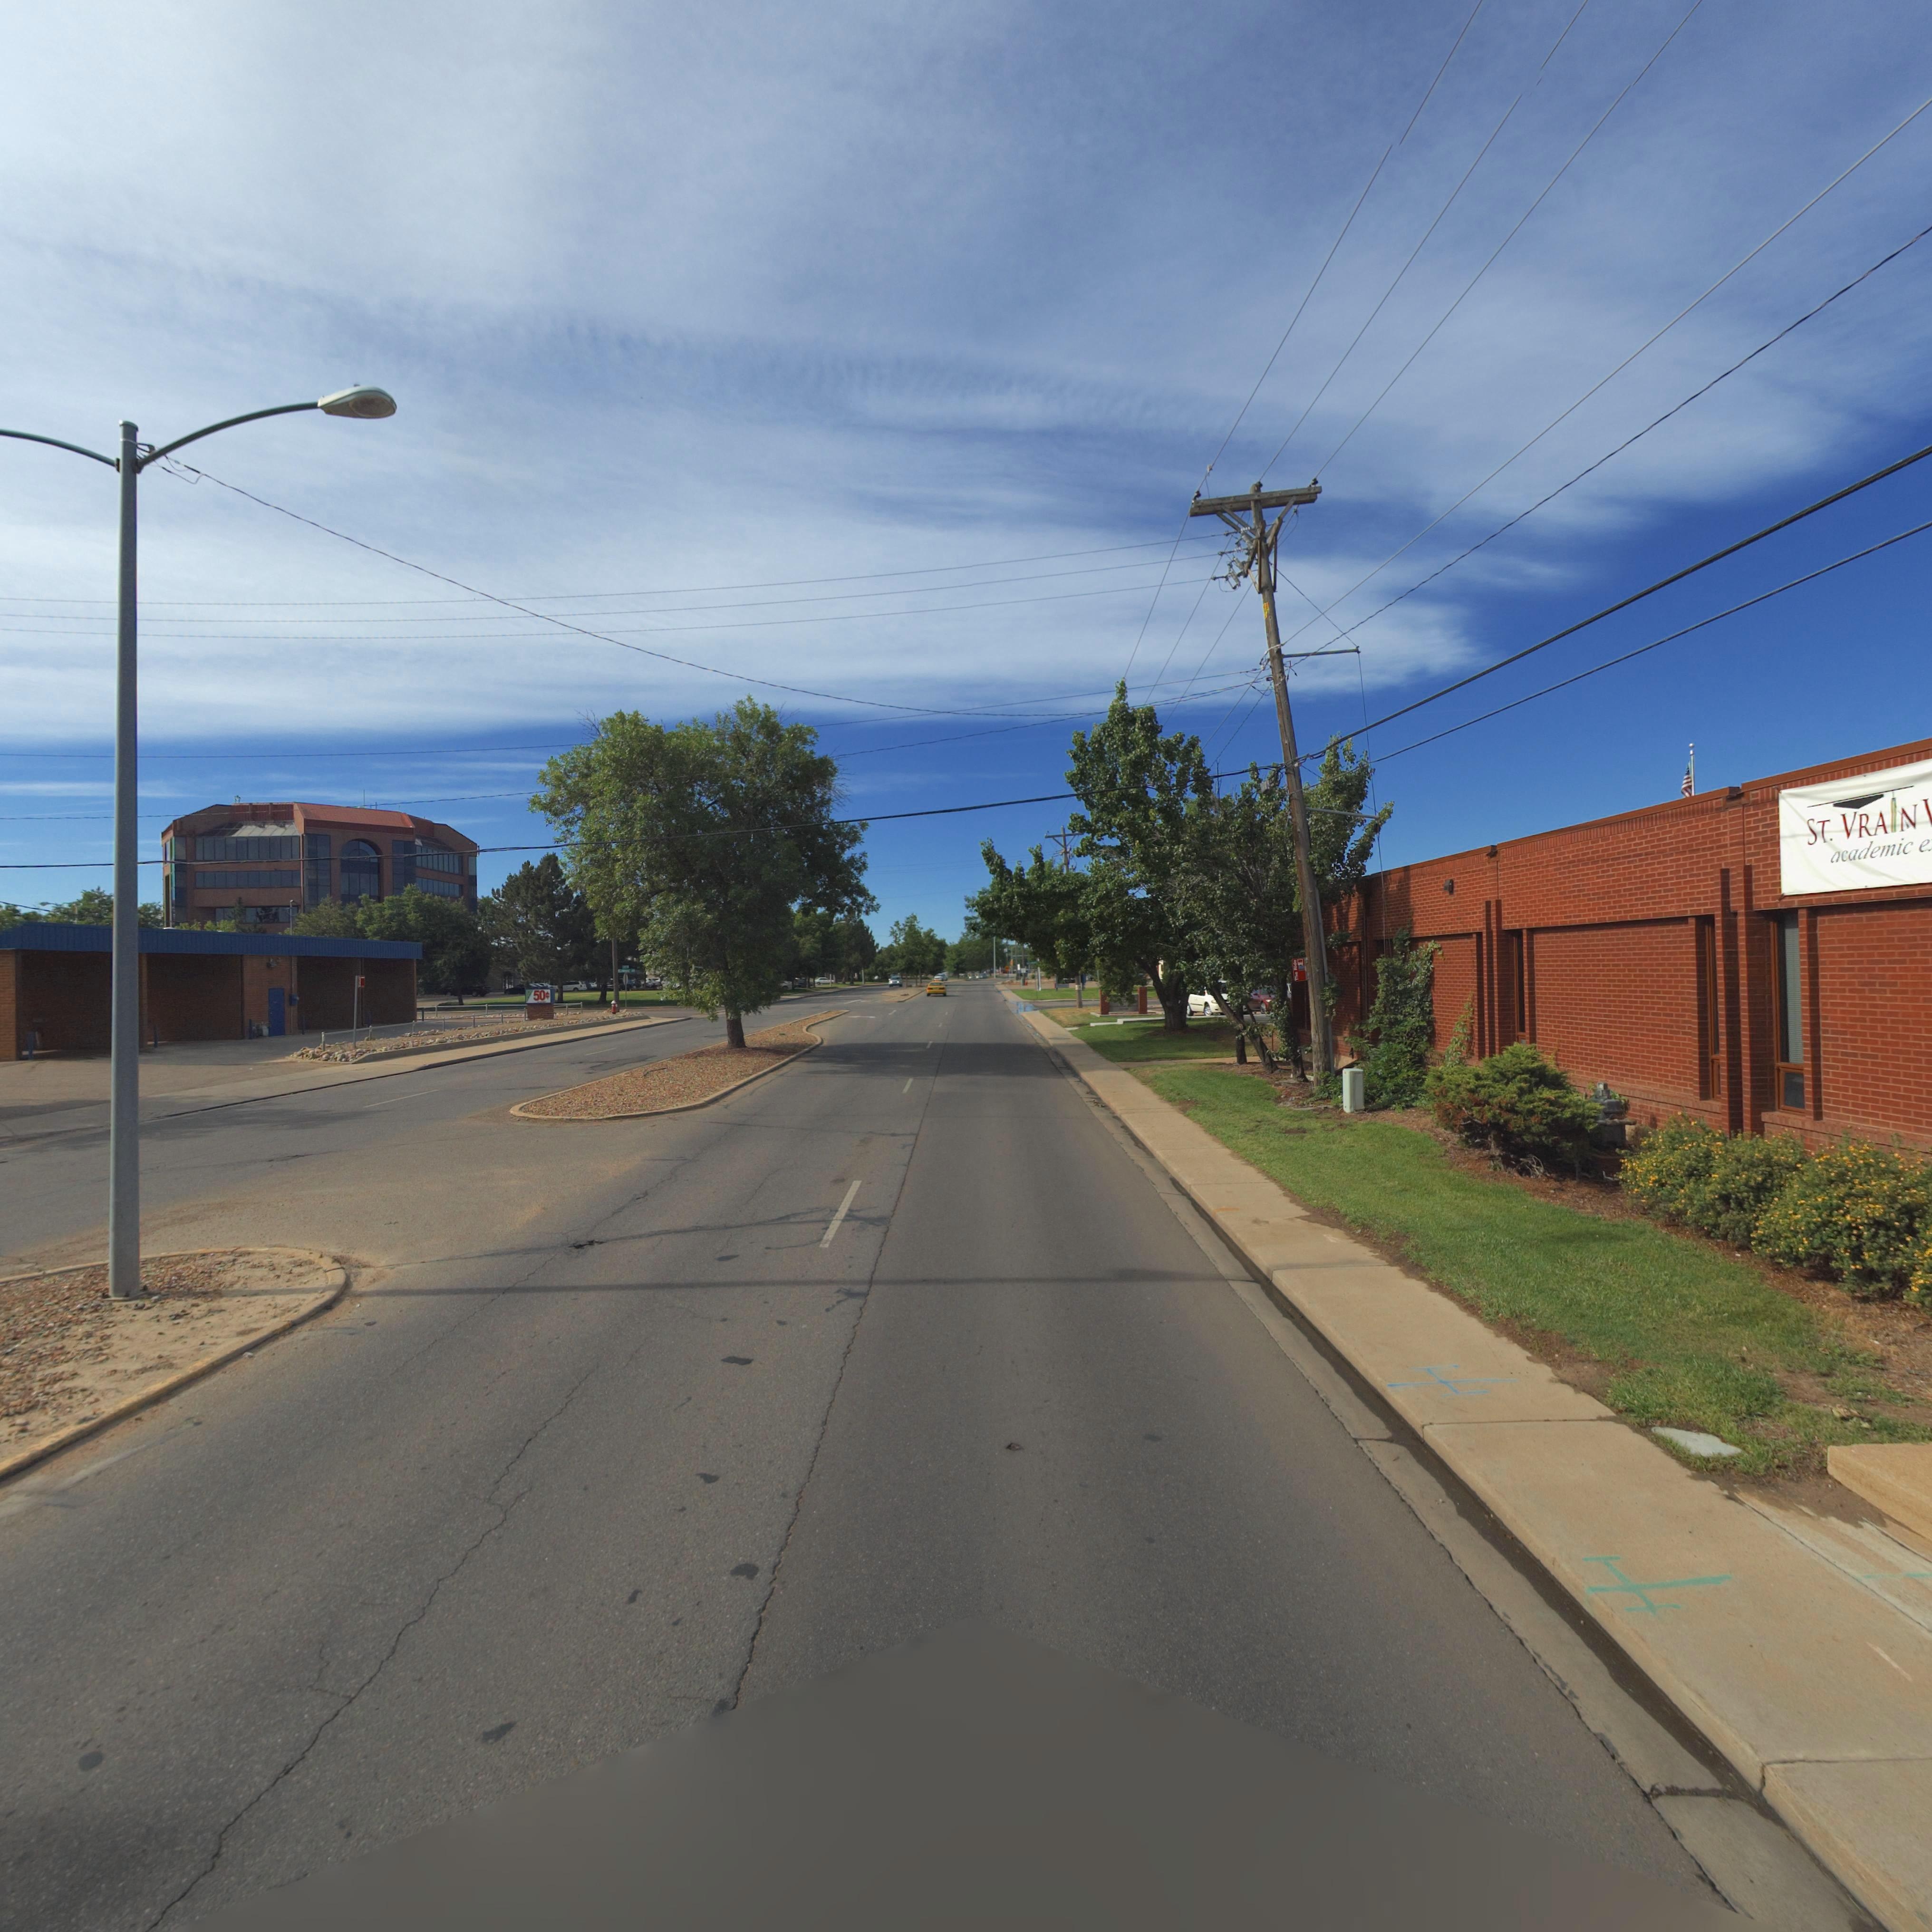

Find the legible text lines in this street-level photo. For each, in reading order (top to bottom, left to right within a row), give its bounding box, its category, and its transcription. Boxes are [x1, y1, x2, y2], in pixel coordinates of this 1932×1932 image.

[1805, 796, 1918, 846] BusinessName: ST* VRA*N